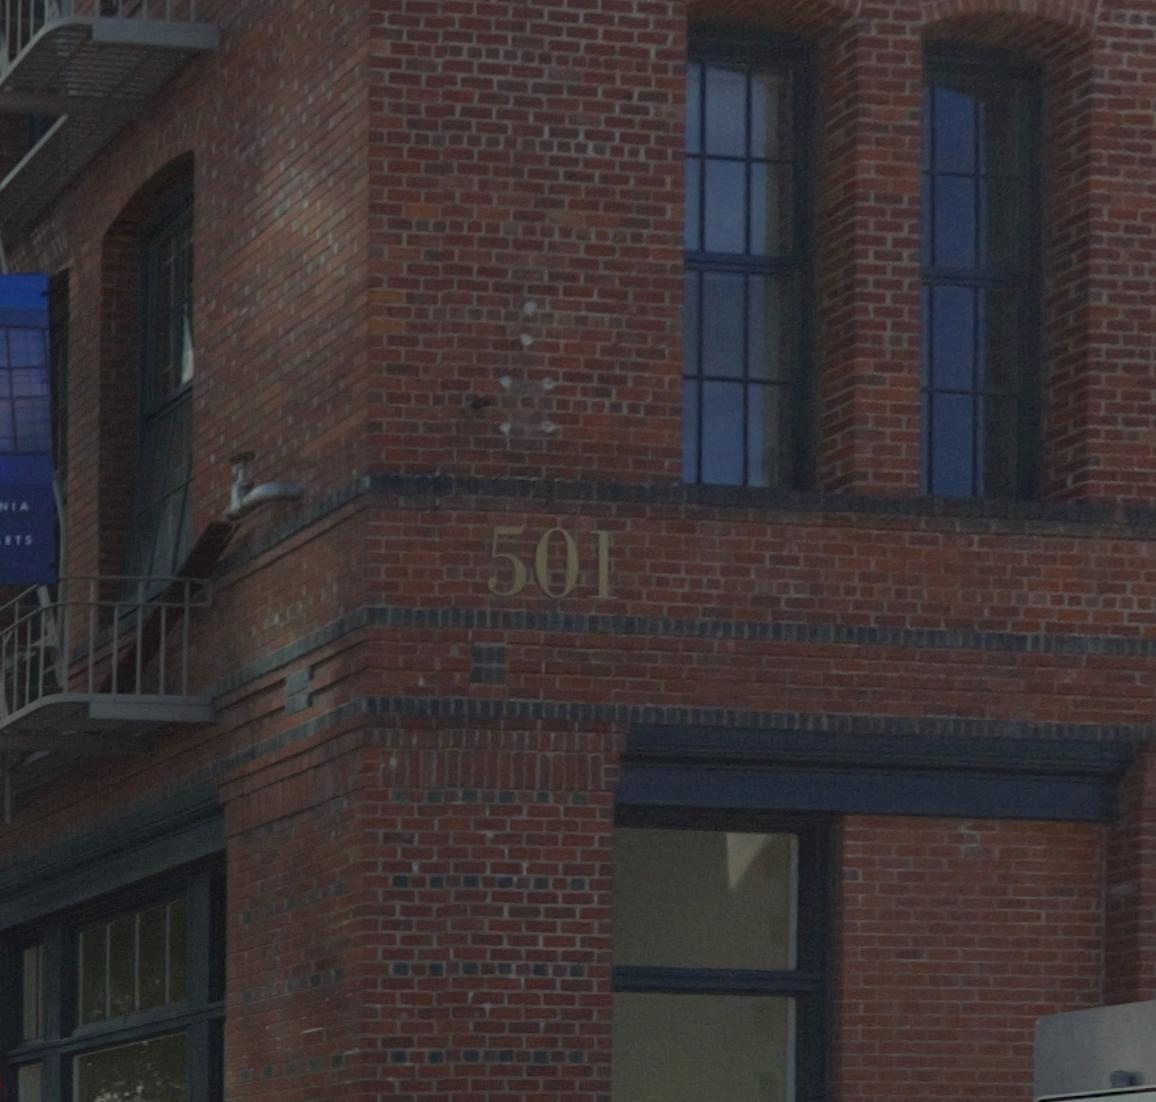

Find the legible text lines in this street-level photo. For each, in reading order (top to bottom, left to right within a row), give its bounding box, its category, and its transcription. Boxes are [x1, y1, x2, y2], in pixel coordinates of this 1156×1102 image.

[6, 497, 34, 515] None: IA
[1, 532, 35, 550] None: RTS
[483, 520, 623, 607] StreetNumber: 501